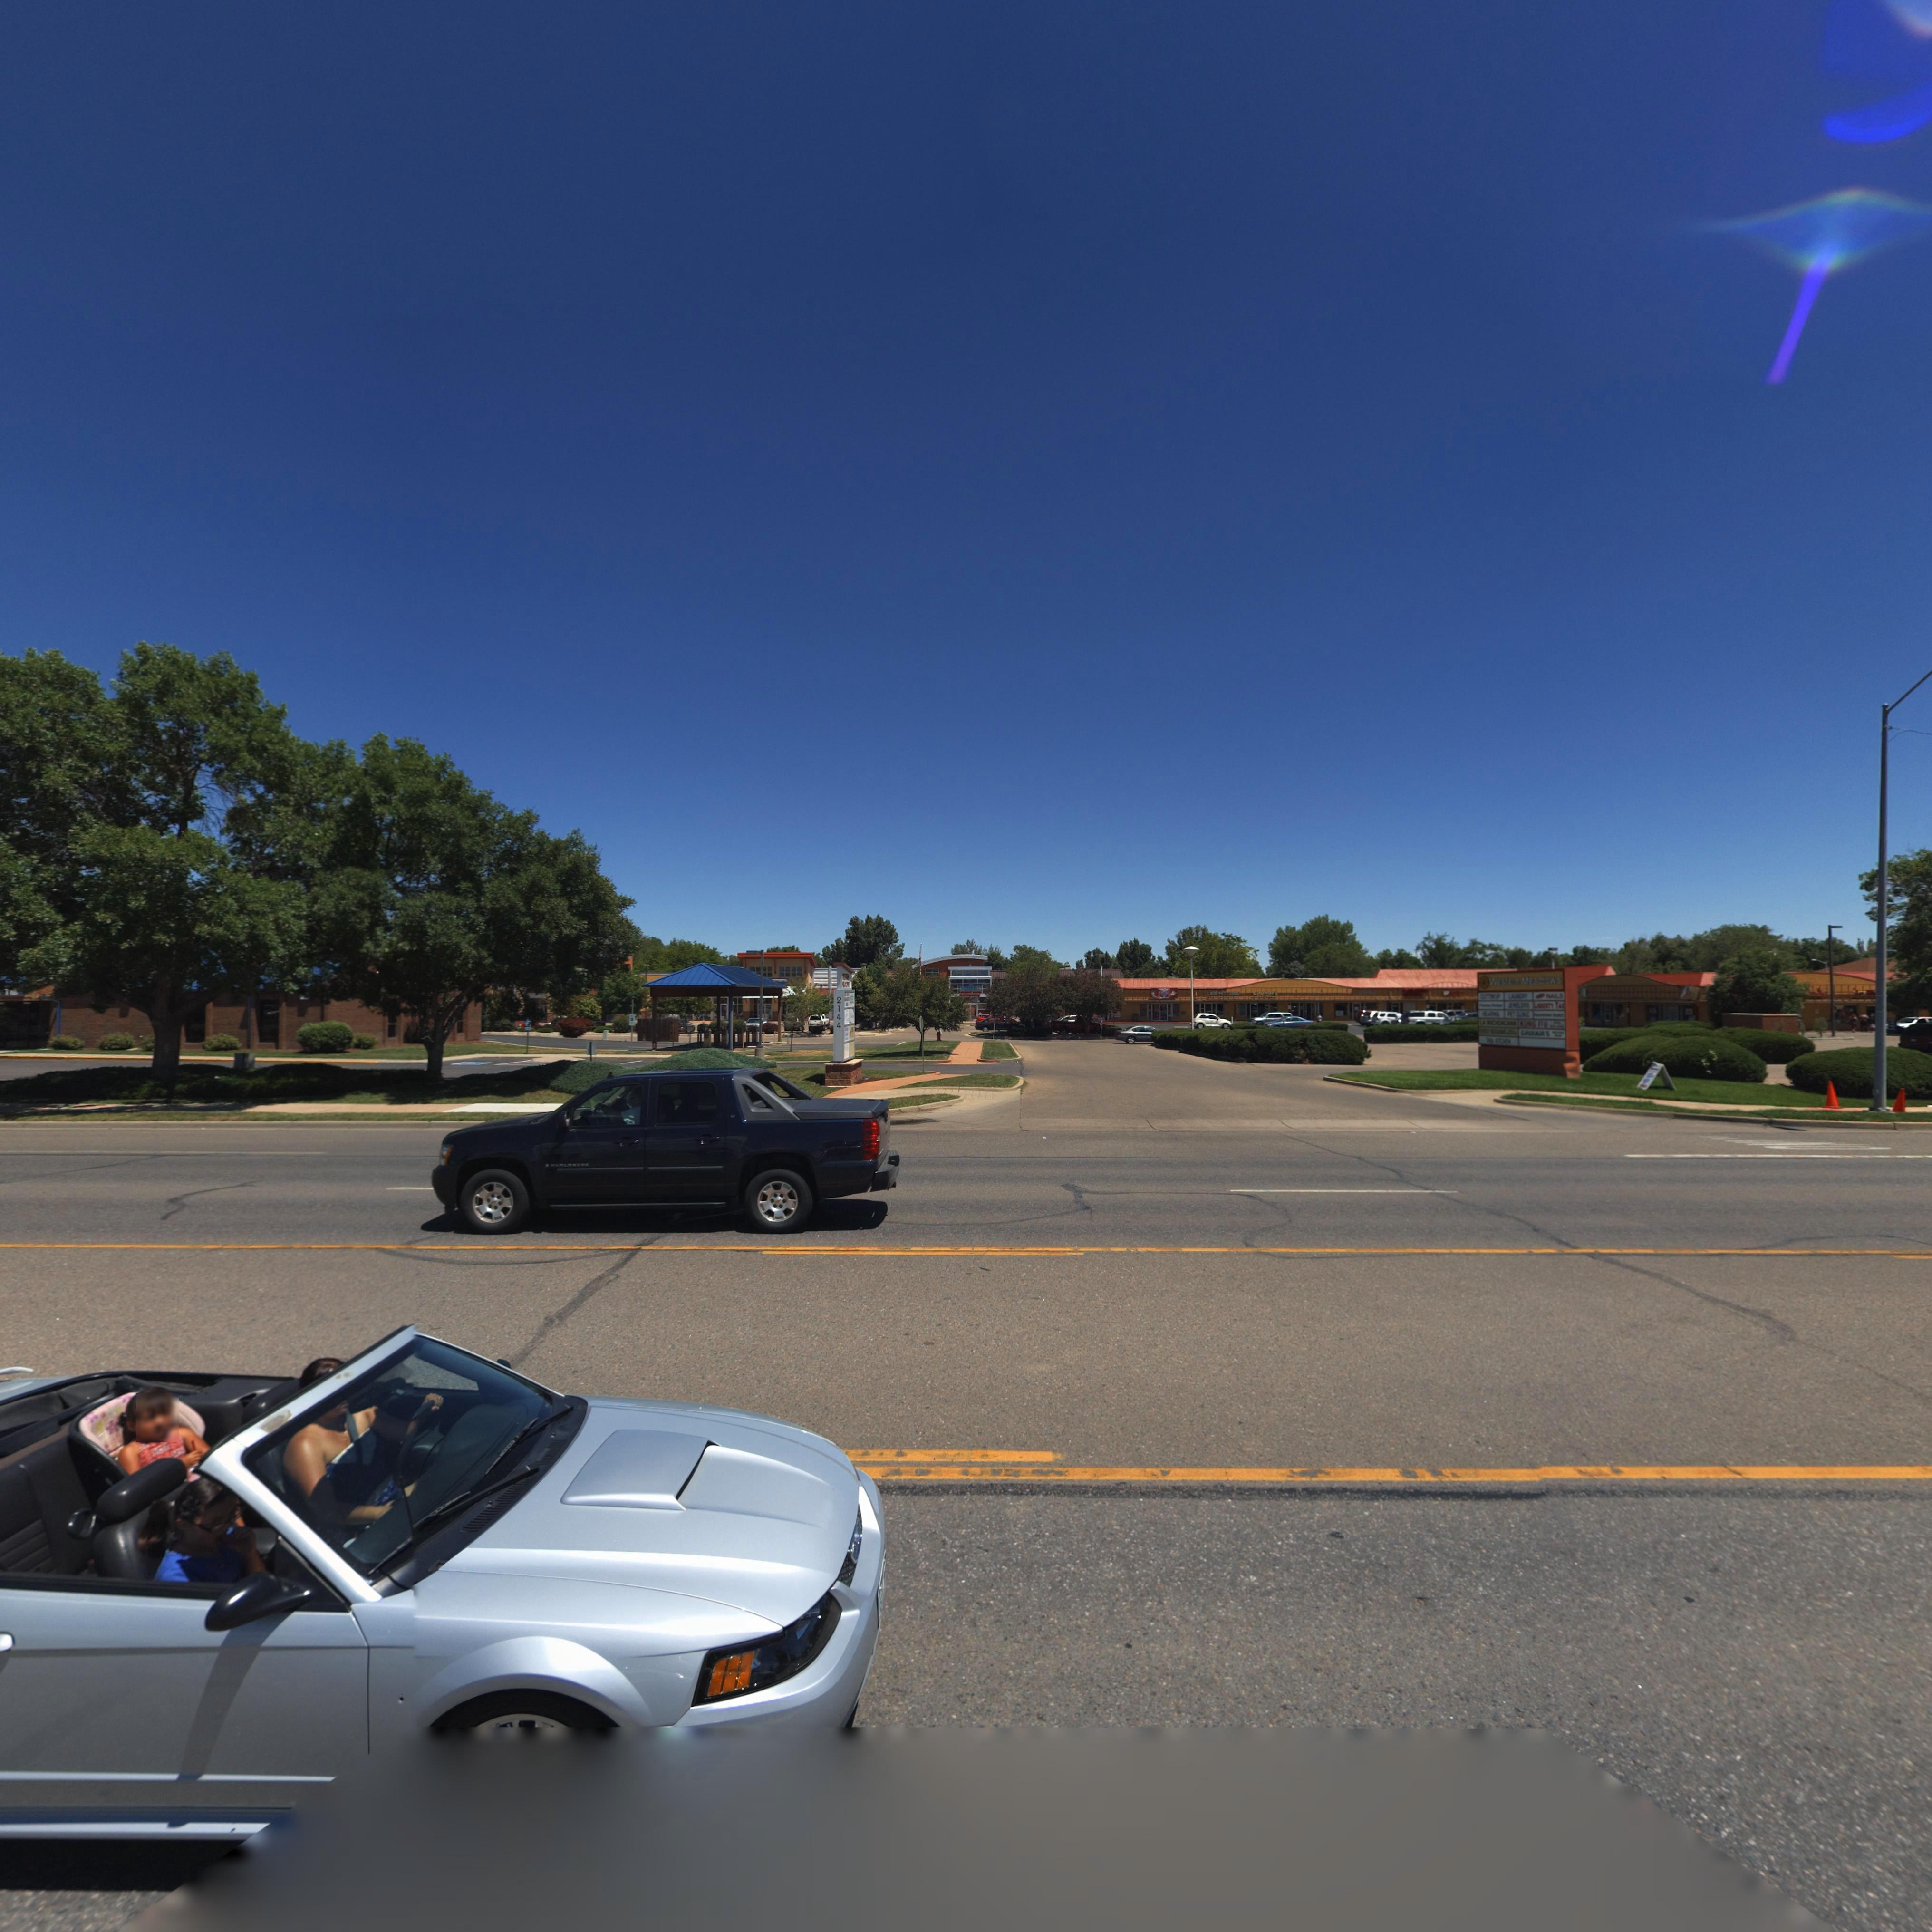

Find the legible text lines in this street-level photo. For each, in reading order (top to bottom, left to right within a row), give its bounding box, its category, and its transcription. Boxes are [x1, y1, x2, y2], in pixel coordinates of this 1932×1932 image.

[1534, 1001, 1564, 1008] BusinessName: L***RT* TA*
[836, 996, 841, 1029] StreetNumber: 2144
[1520, 1029, 1550, 1037] BusinessName: ****NA*S